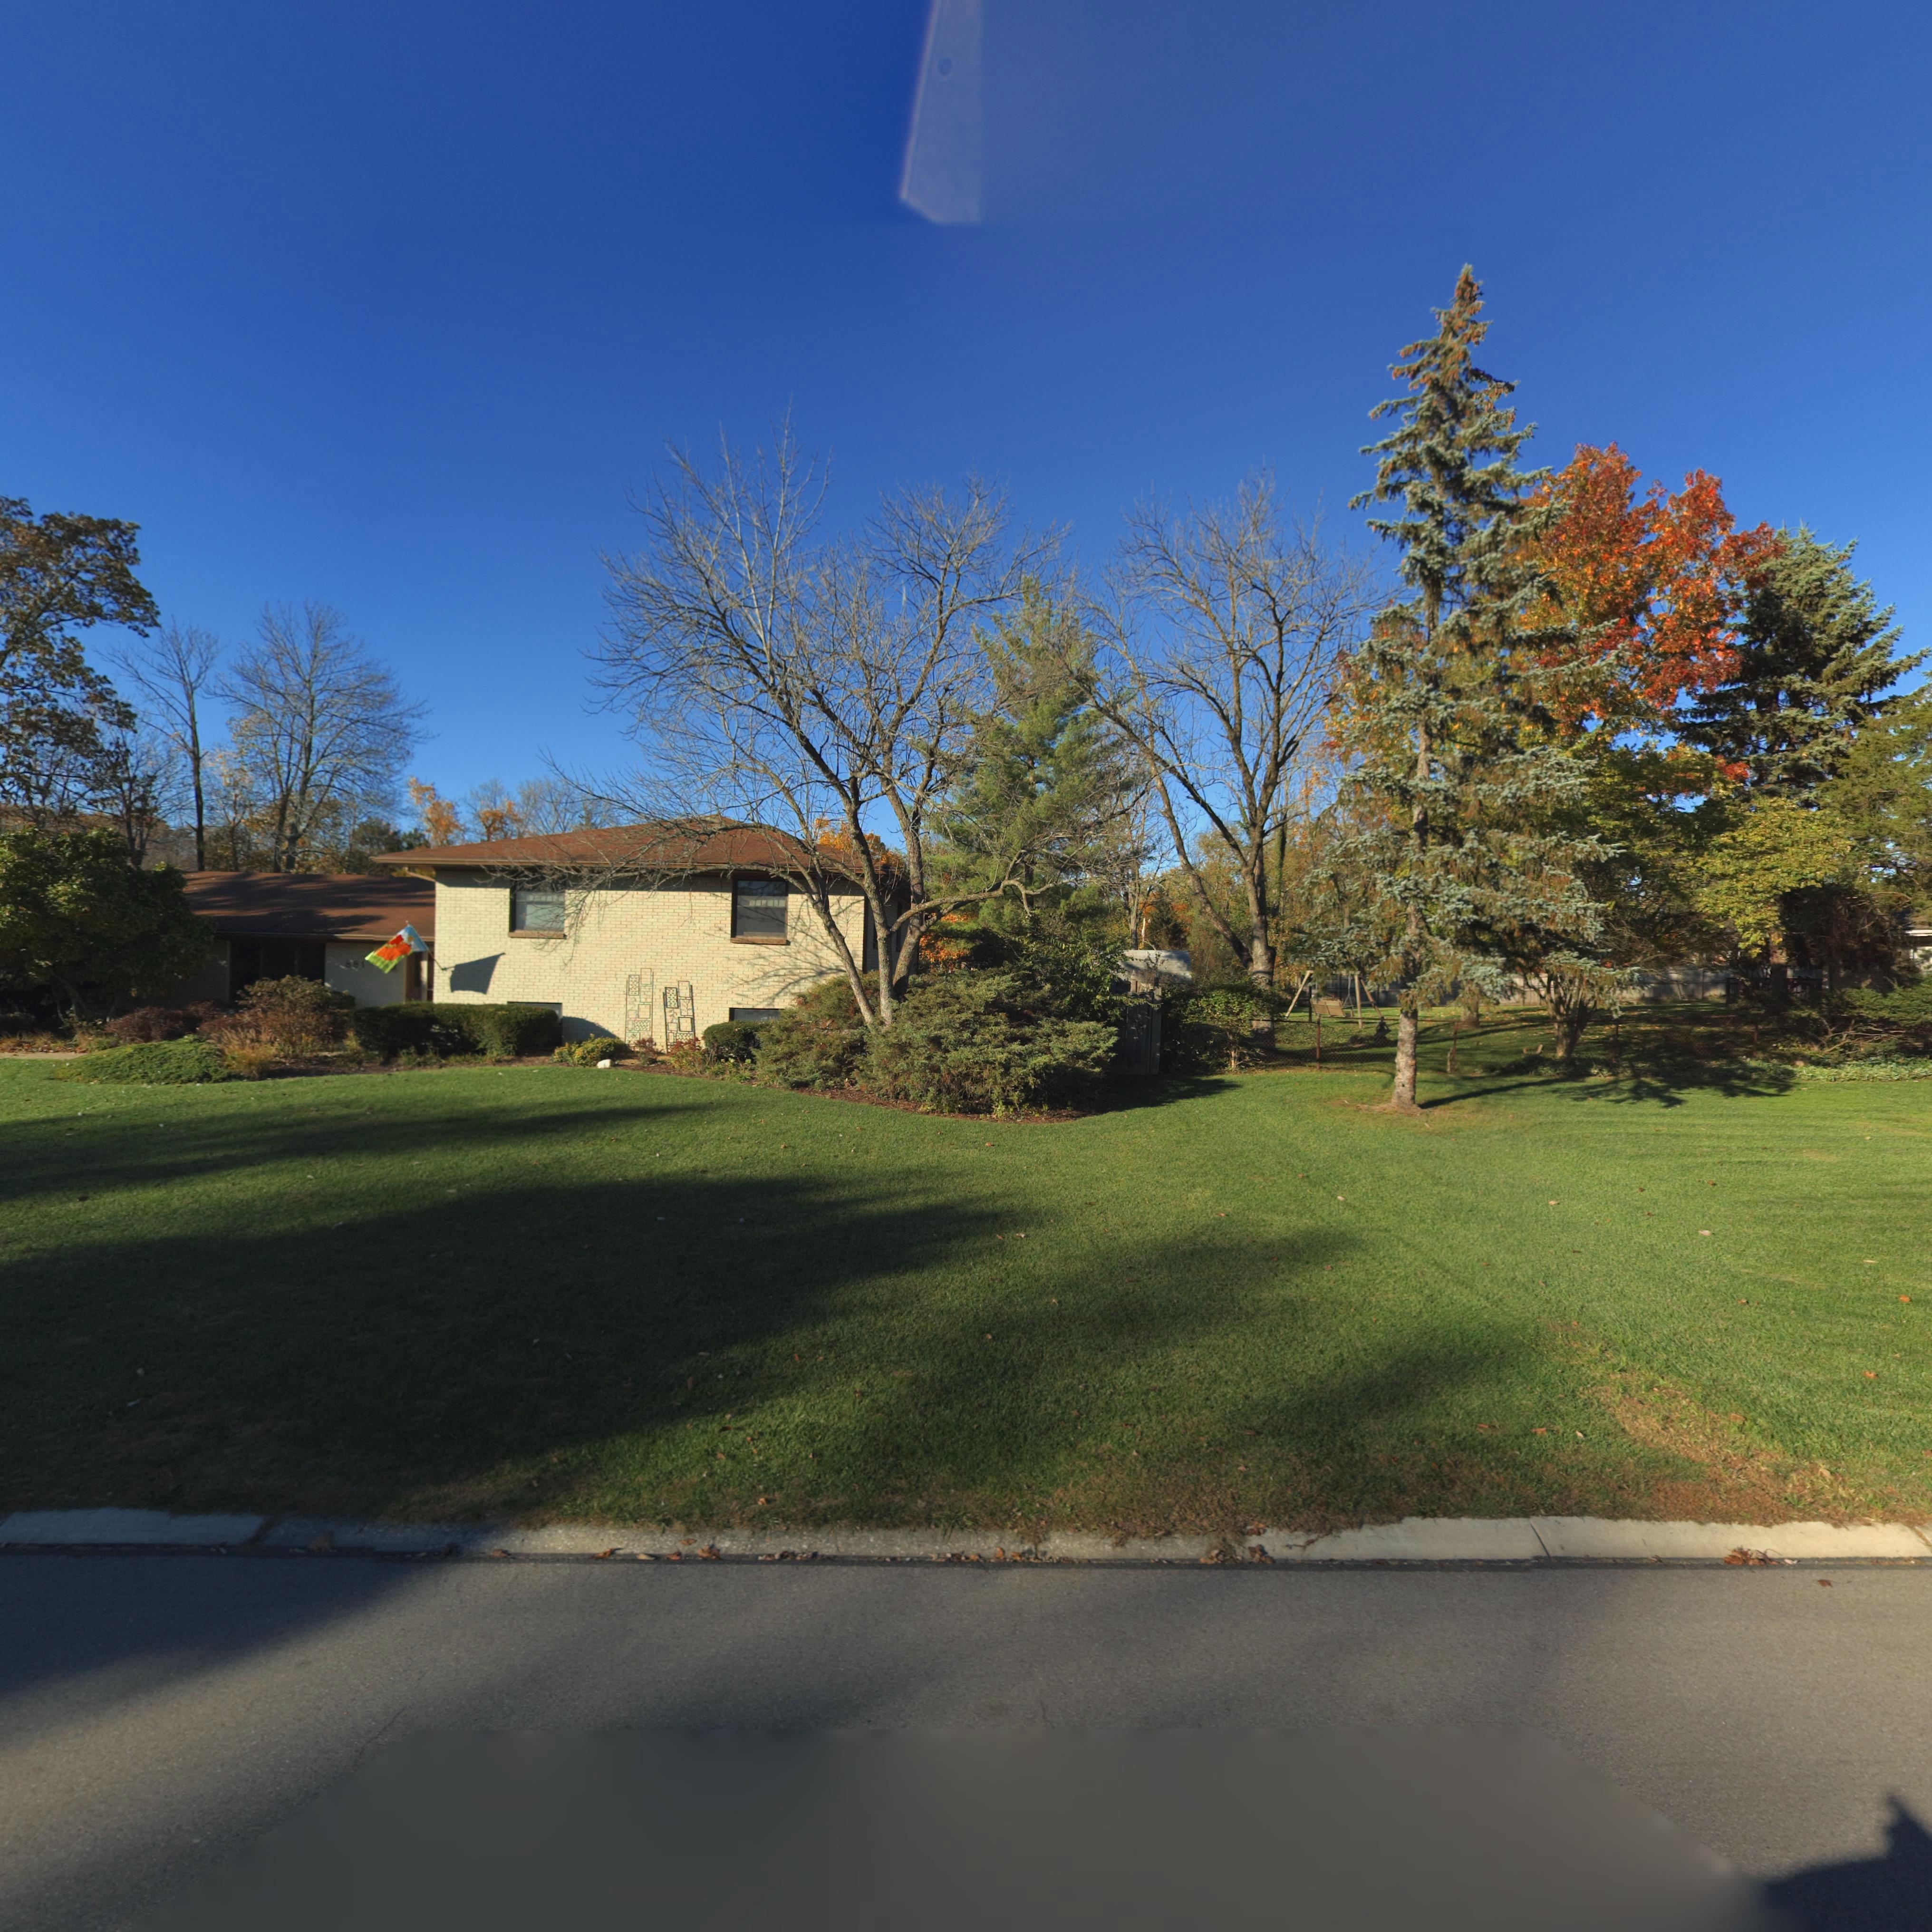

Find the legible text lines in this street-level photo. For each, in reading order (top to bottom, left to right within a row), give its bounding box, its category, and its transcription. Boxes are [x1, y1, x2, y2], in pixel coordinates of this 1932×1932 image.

[345, 959, 366, 968] StreetNumber: 881